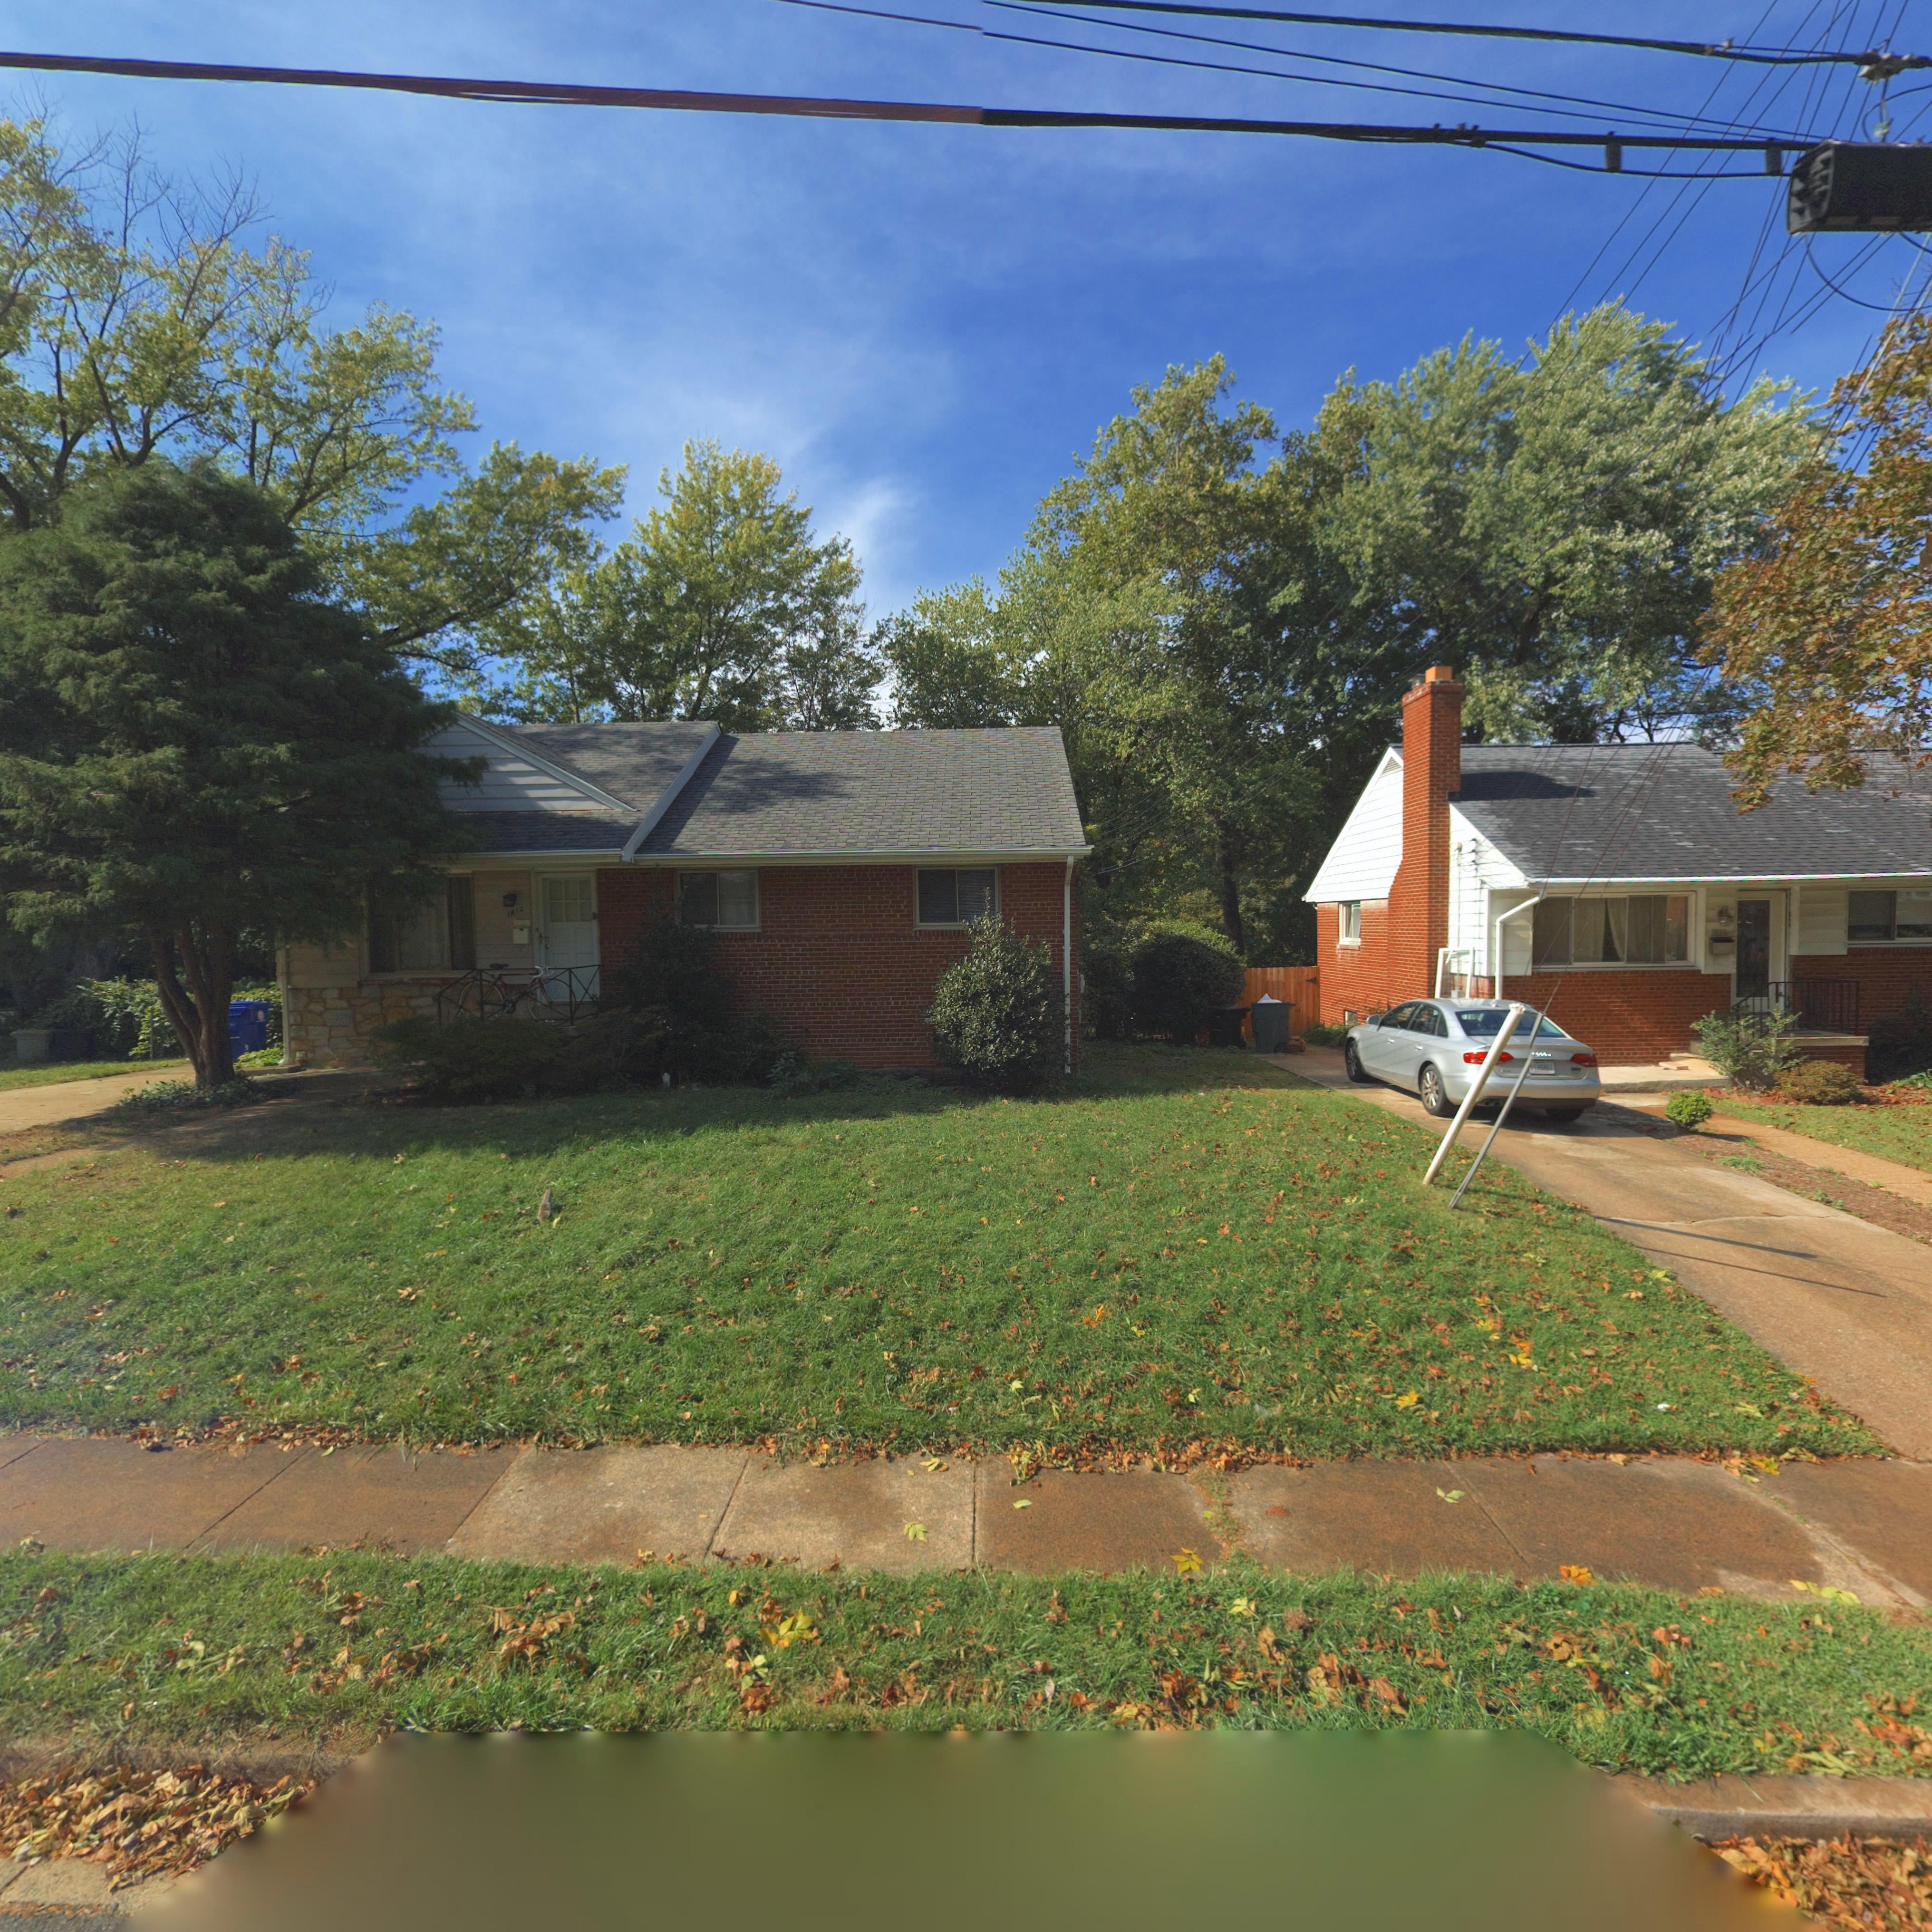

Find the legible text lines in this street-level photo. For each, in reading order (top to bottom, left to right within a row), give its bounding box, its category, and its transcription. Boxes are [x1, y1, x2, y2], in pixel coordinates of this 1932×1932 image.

[505, 904, 525, 919] StreetNumber: 1812
[1710, 928, 1723, 937] StreetNumber: 181